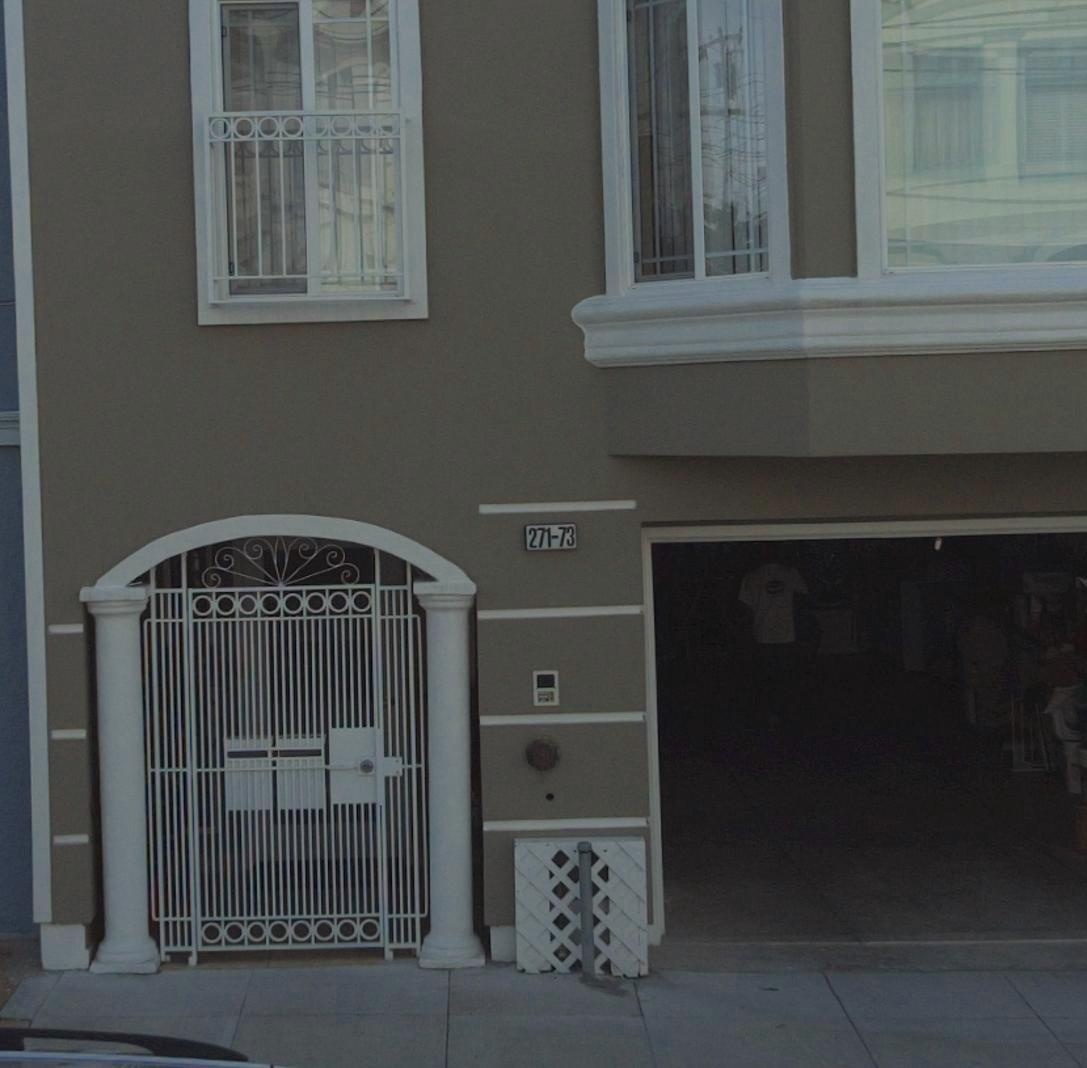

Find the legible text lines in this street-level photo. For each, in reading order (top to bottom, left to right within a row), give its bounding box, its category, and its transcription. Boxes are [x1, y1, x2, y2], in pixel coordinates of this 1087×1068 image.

[527, 525, 576, 549] StreetNumber: 271-73